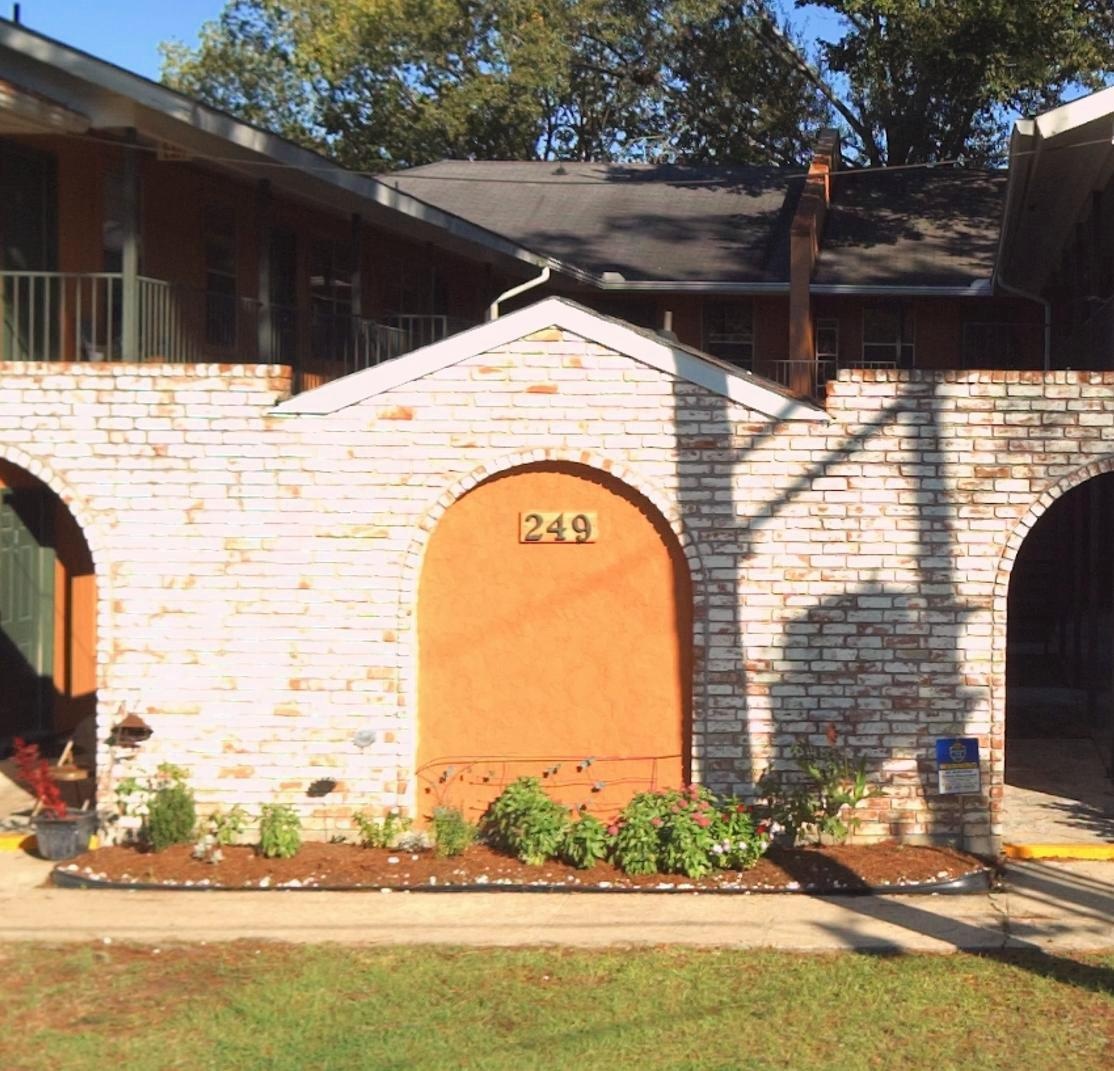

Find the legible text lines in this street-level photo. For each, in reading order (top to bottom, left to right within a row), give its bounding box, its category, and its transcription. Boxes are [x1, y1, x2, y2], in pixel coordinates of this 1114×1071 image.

[522, 511, 594, 544] StreetNumber: 249